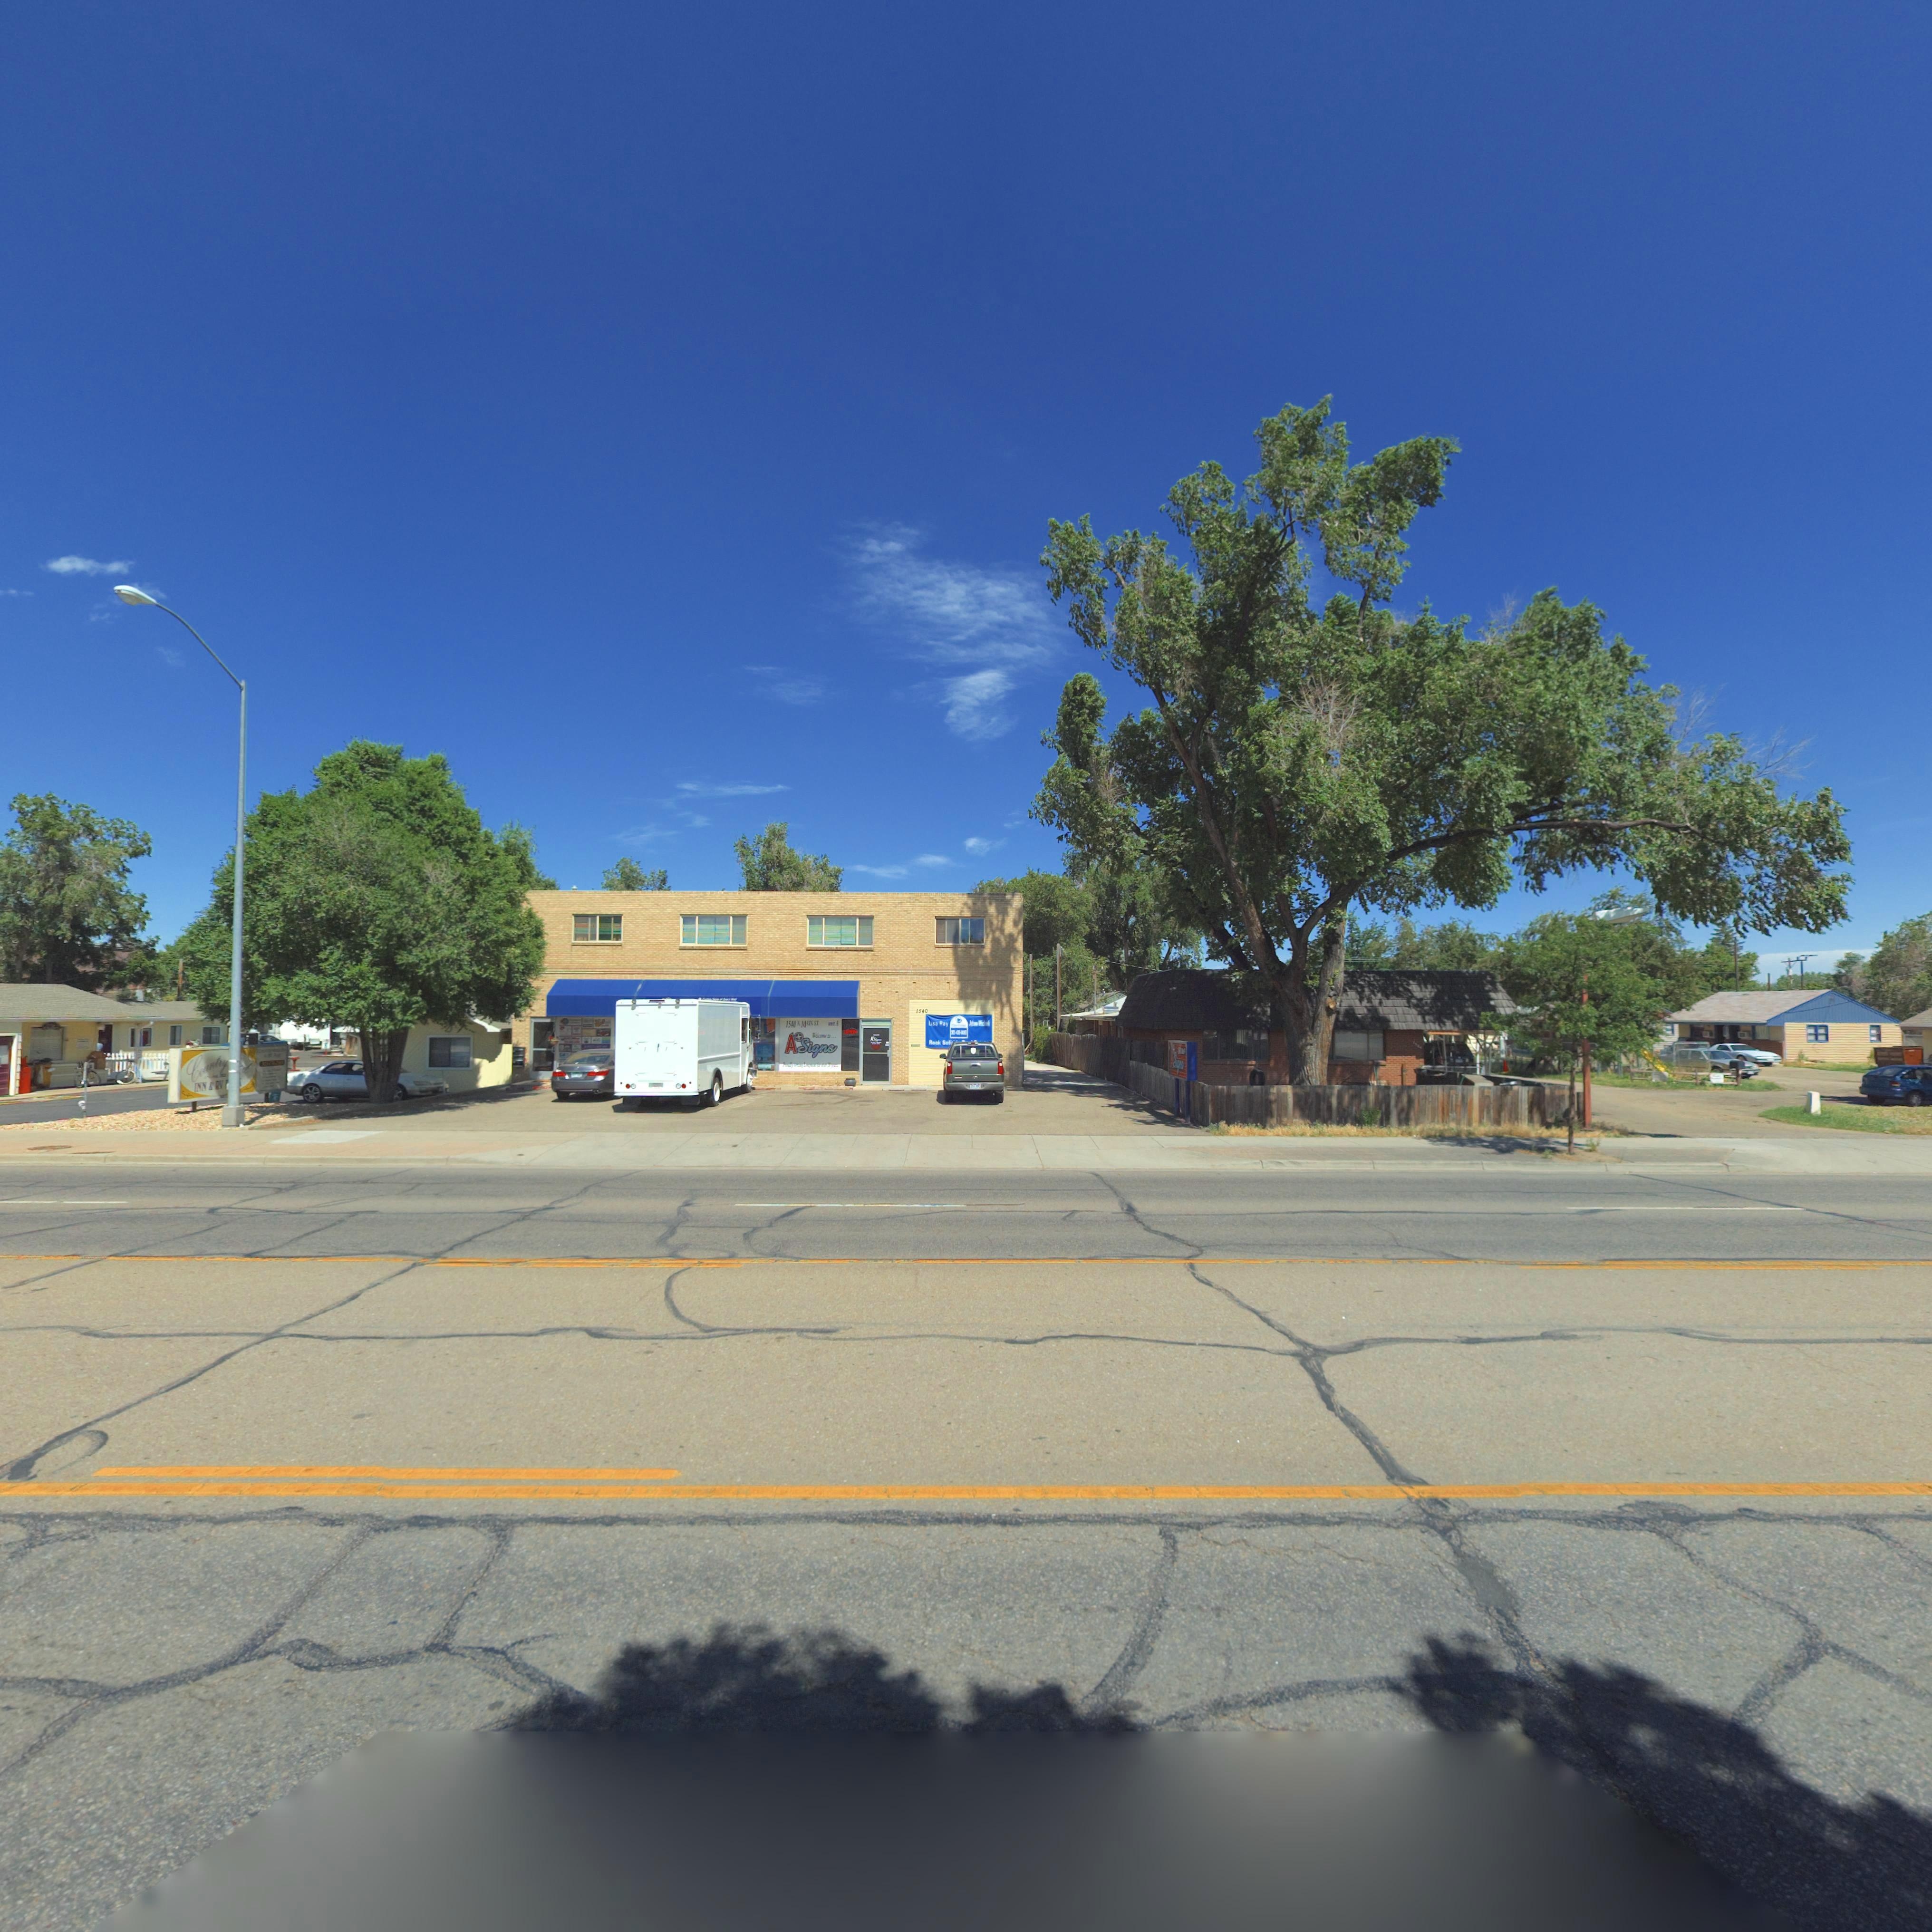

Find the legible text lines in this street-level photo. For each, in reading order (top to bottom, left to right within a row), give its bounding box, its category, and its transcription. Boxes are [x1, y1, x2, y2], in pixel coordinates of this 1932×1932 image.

[916, 1008, 928, 1014] StreetNumber: 1540
[785, 1020, 796, 1028] StreetNumber: 1540
[797, 1020, 819, 1028] StreetName: N. MAIN ST.
[827, 1020, 839, 1026] SecondaryUnitDesignator: unit A
[869, 1036, 882, 1042] BusinessName: AS
[784, 1032, 837, 1058] BusinessName: ASigns
[1412, 1041, 1422, 1049] StreetNumber: 15**
[1169, 1044, 1185, 1077] BusinessName: ASigns
[185, 1054, 252, 1082] BusinessName: Country**od
[193, 1080, 223, 1092] BusinessName: INN & RV